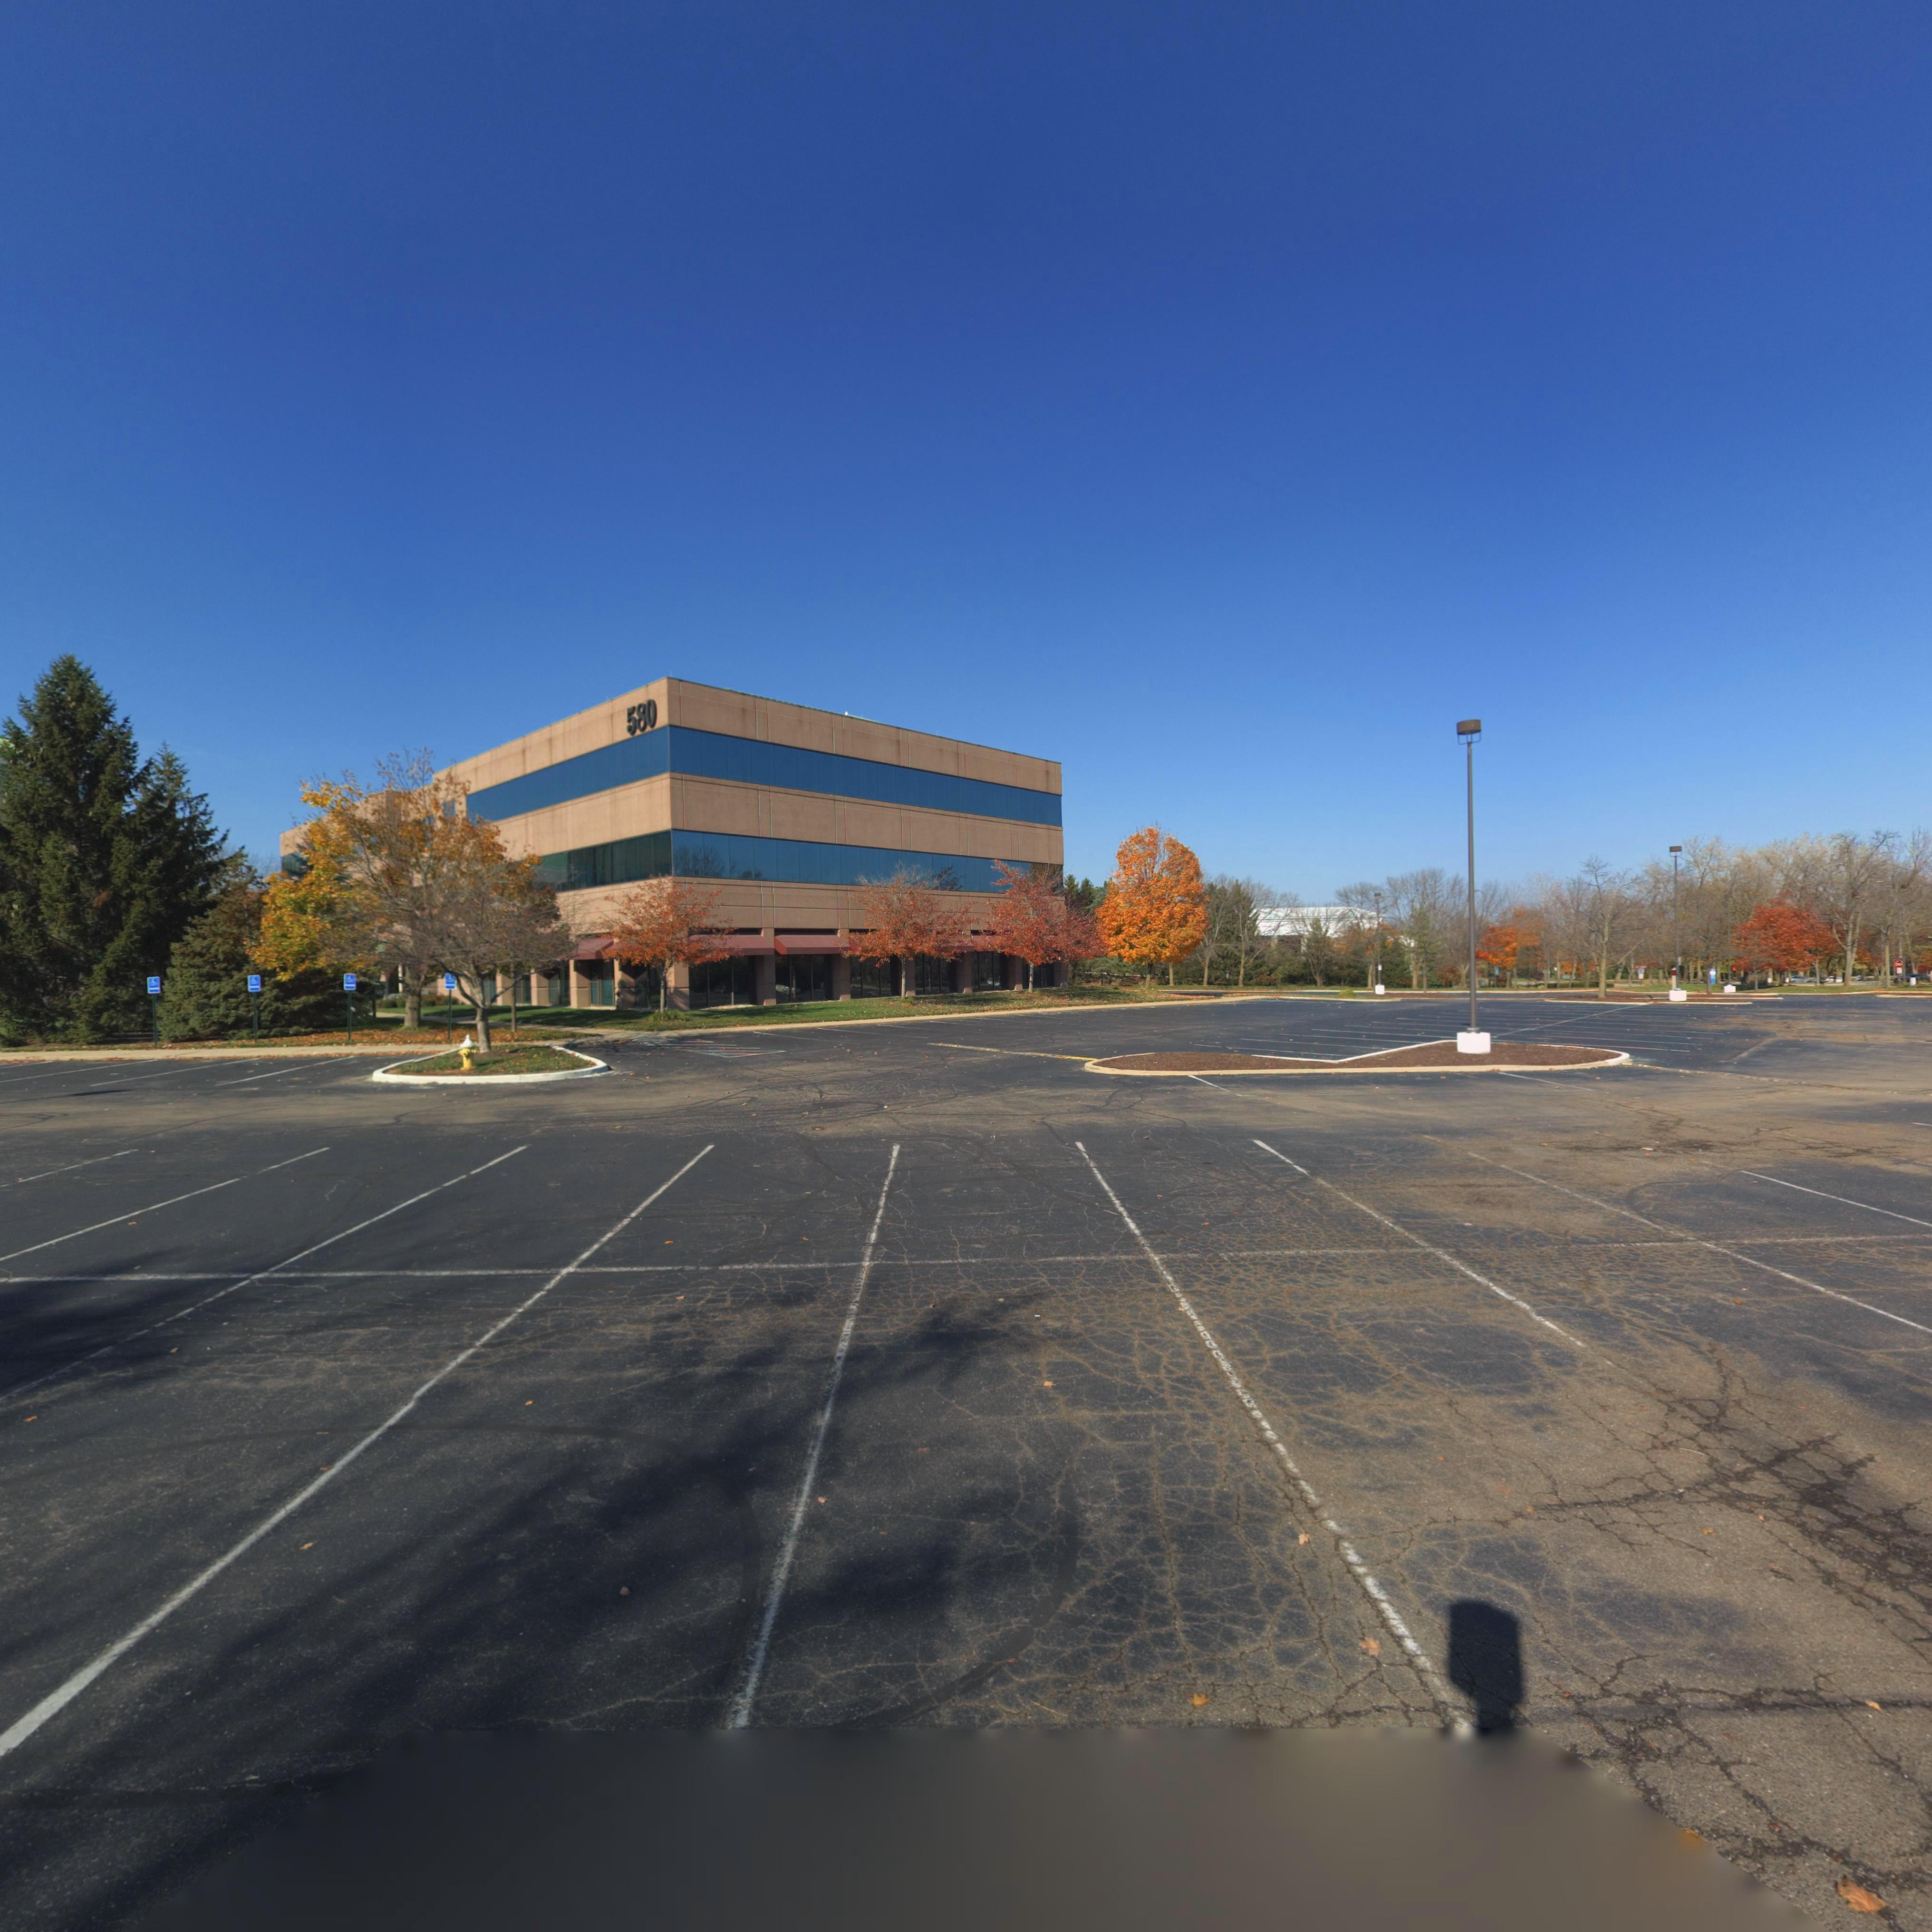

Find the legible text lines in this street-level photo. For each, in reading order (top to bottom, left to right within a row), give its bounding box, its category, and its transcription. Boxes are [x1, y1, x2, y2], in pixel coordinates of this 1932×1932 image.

[626, 696, 658, 737] StreetNumber: 580